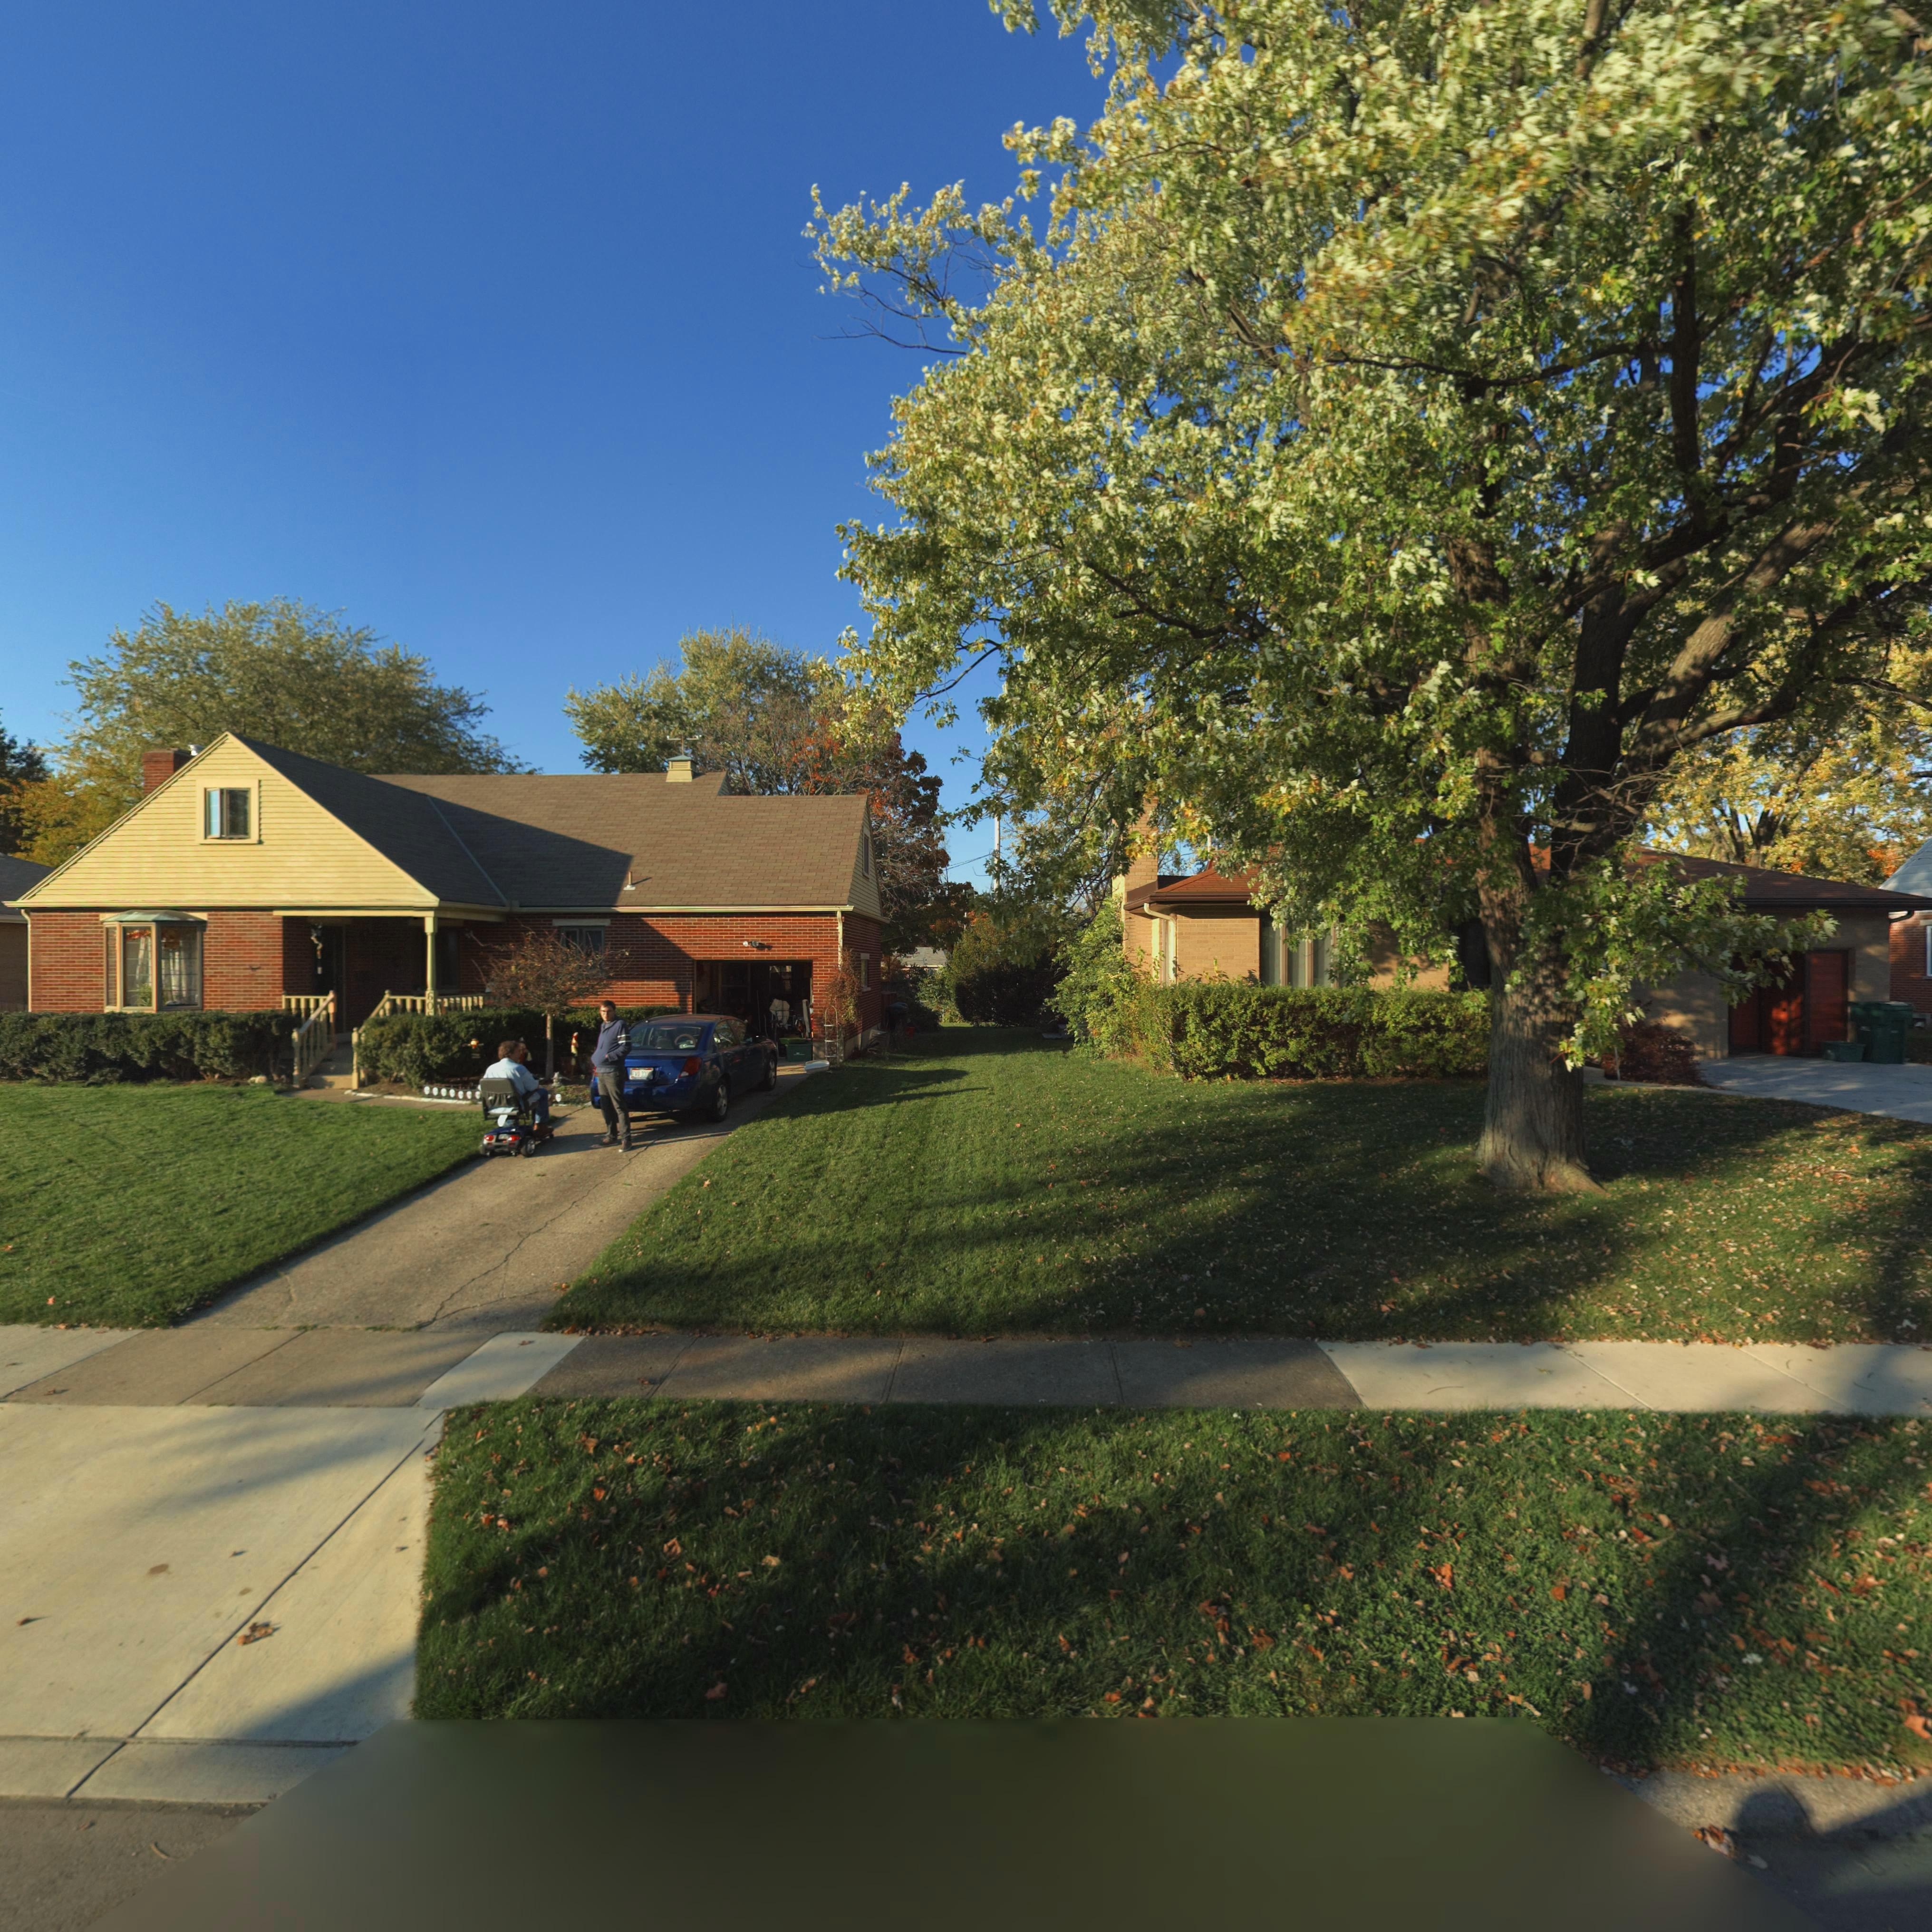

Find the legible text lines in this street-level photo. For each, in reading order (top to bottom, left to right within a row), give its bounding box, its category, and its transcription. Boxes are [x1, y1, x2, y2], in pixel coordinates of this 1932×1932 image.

[426, 991, 434, 1011] StreetNumber: 60